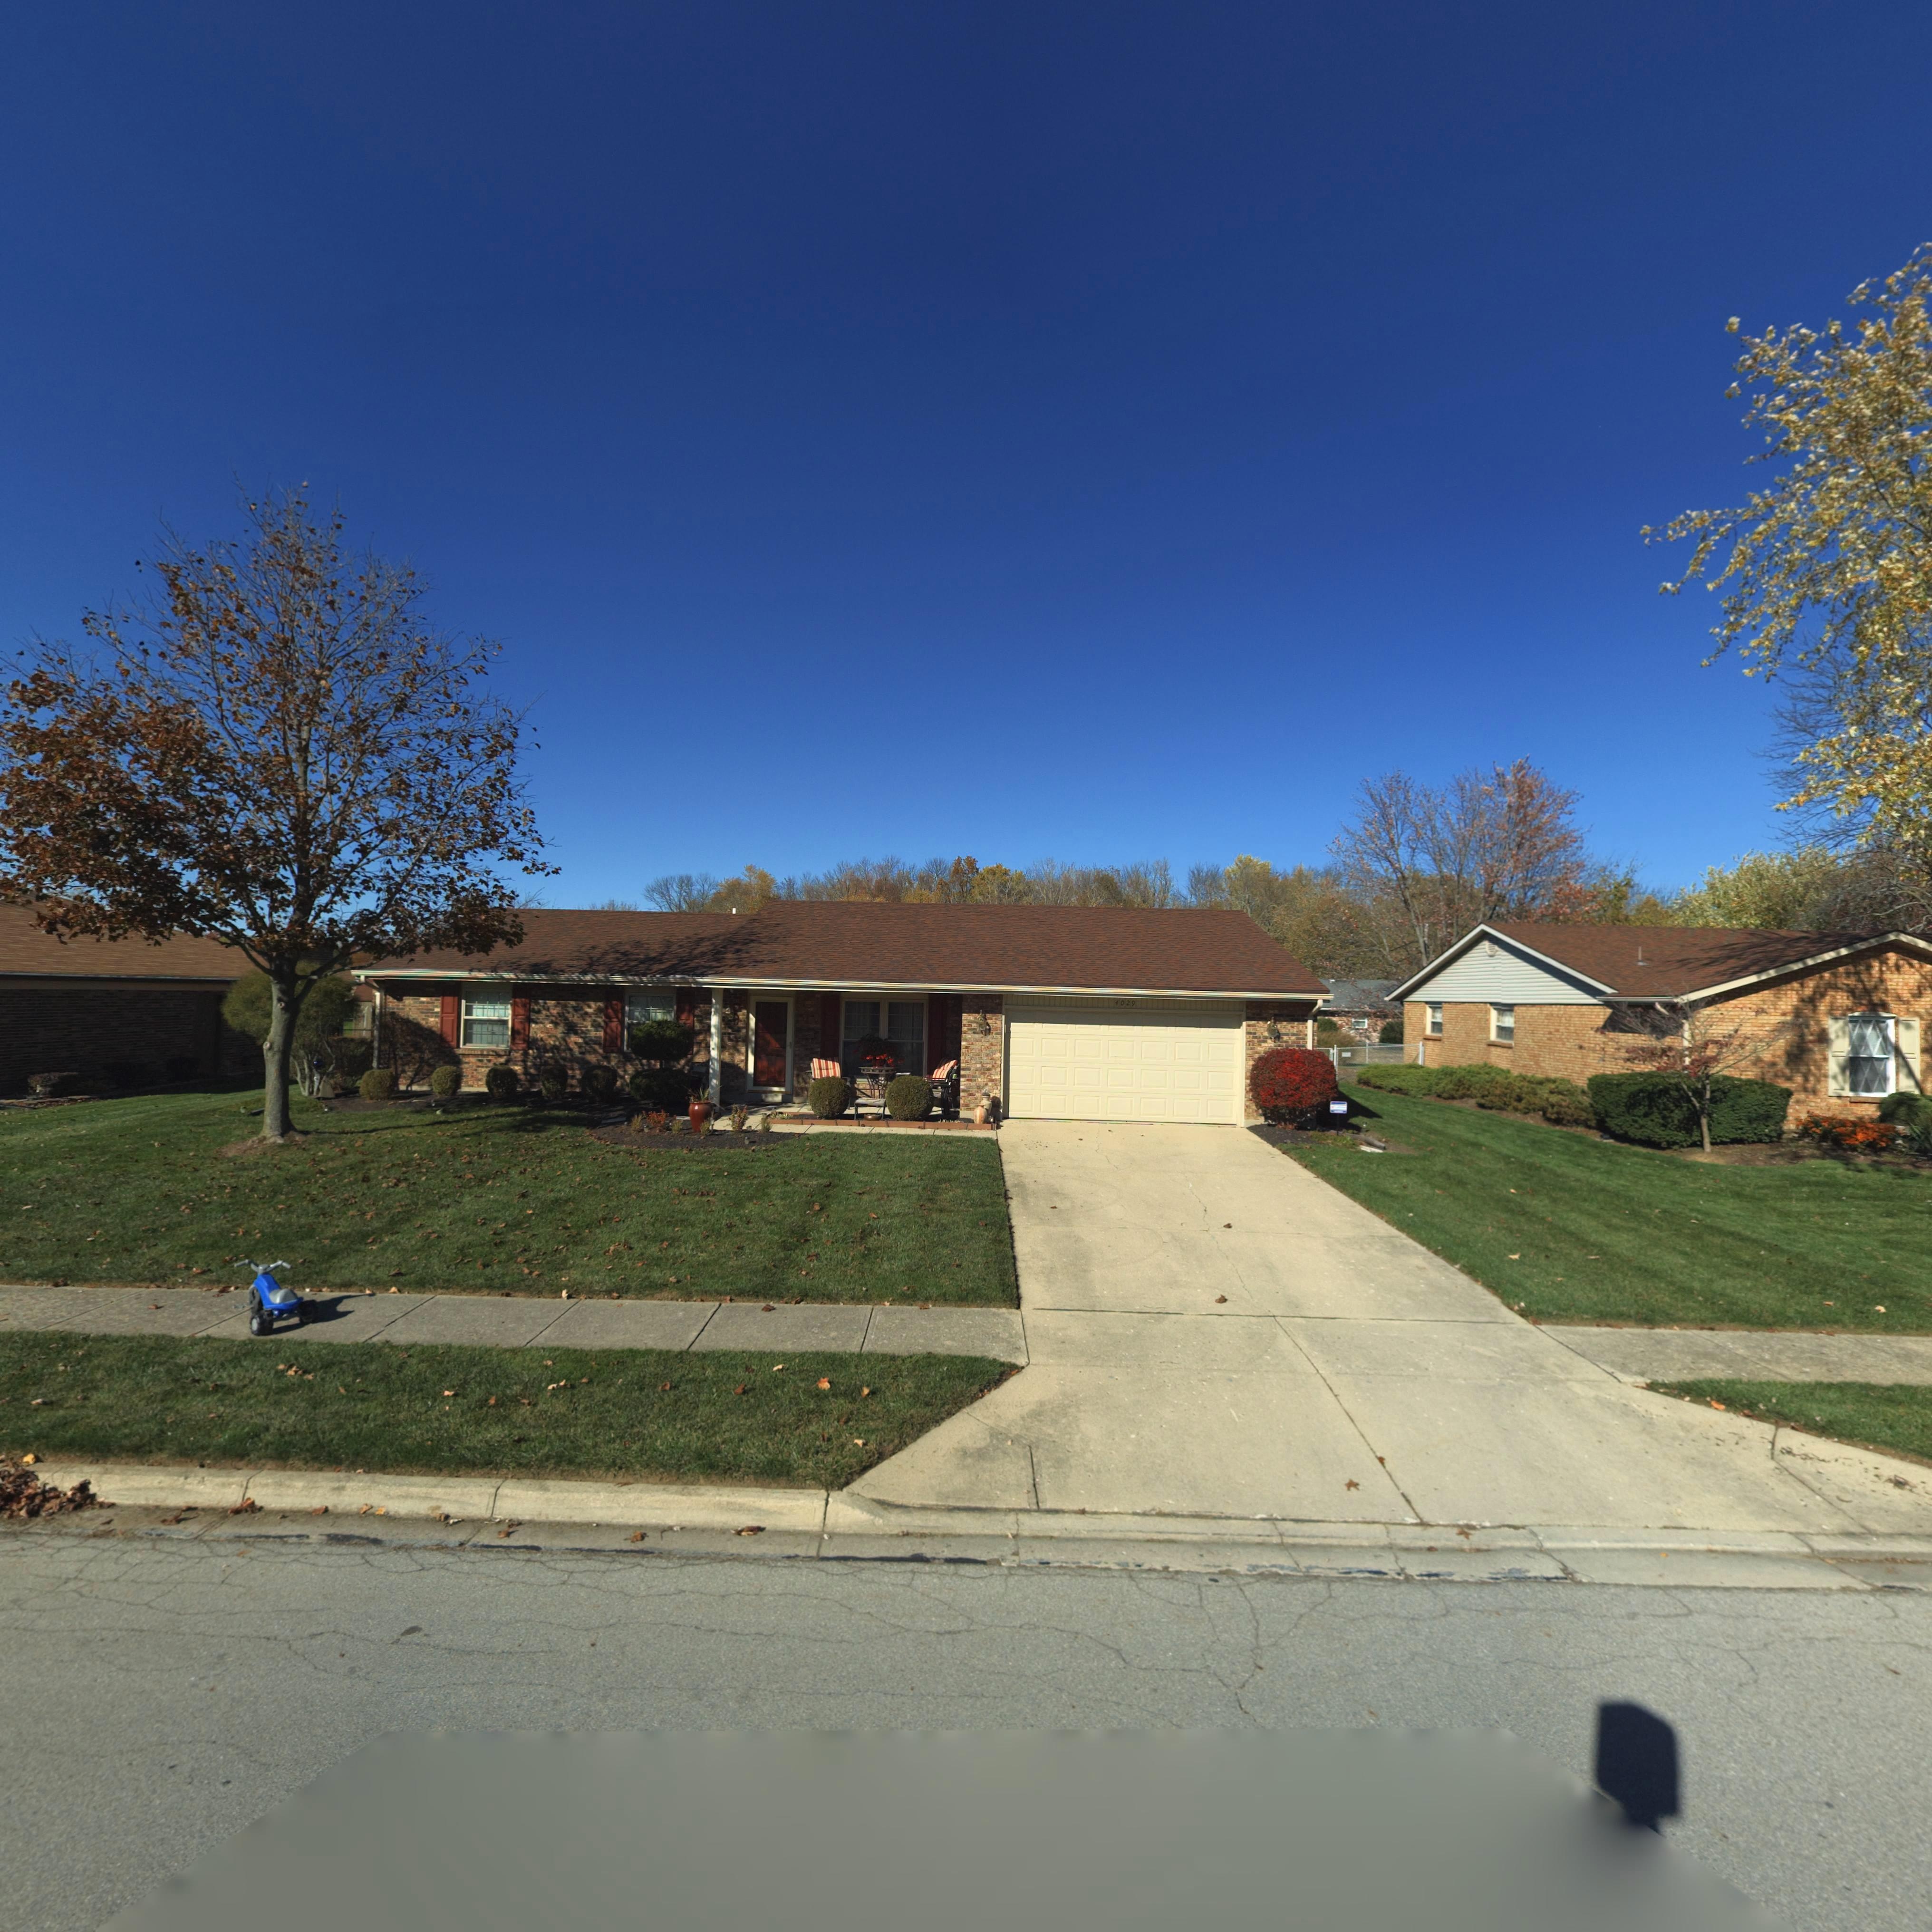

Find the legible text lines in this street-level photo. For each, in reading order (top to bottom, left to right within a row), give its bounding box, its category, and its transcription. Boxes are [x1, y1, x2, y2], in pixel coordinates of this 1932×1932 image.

[1115, 1000, 1136, 1006] StreetNumber: 4029